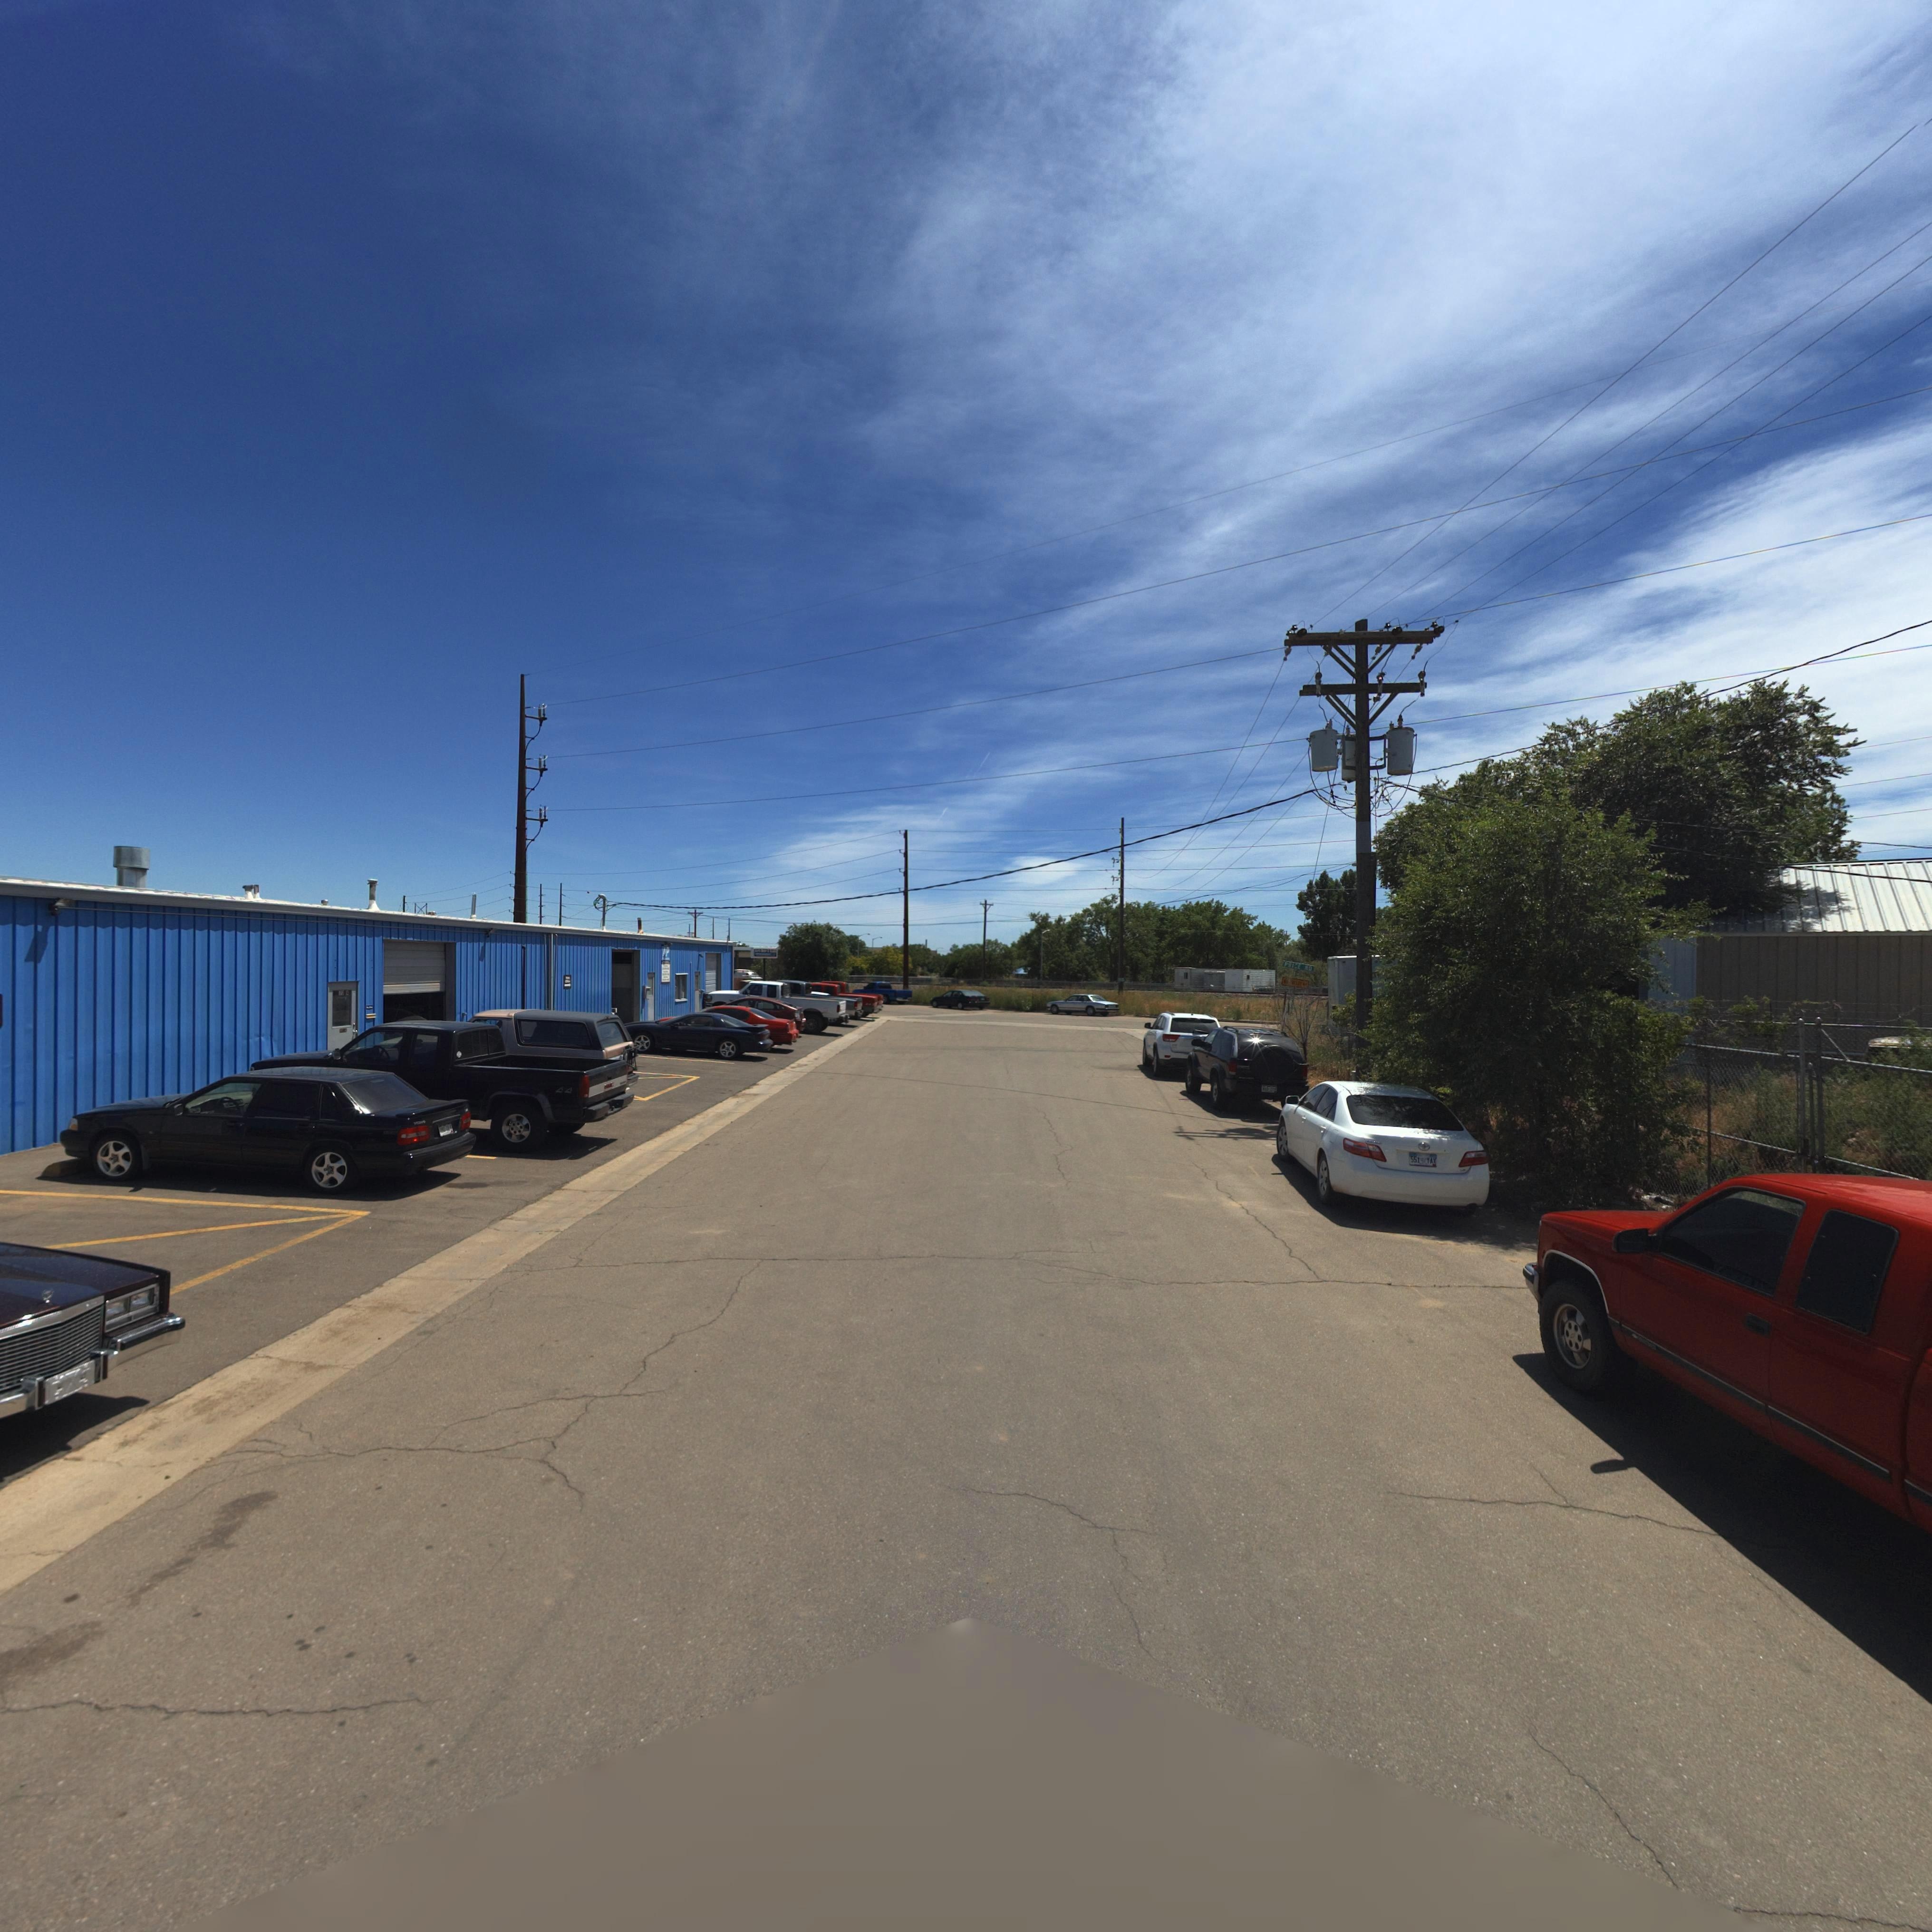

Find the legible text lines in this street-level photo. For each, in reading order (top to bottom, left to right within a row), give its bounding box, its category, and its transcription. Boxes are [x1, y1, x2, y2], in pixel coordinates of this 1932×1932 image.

[665, 947, 669, 956] BusinessName: P
[1283, 961, 1313, 971] StreetName: PRICE RD